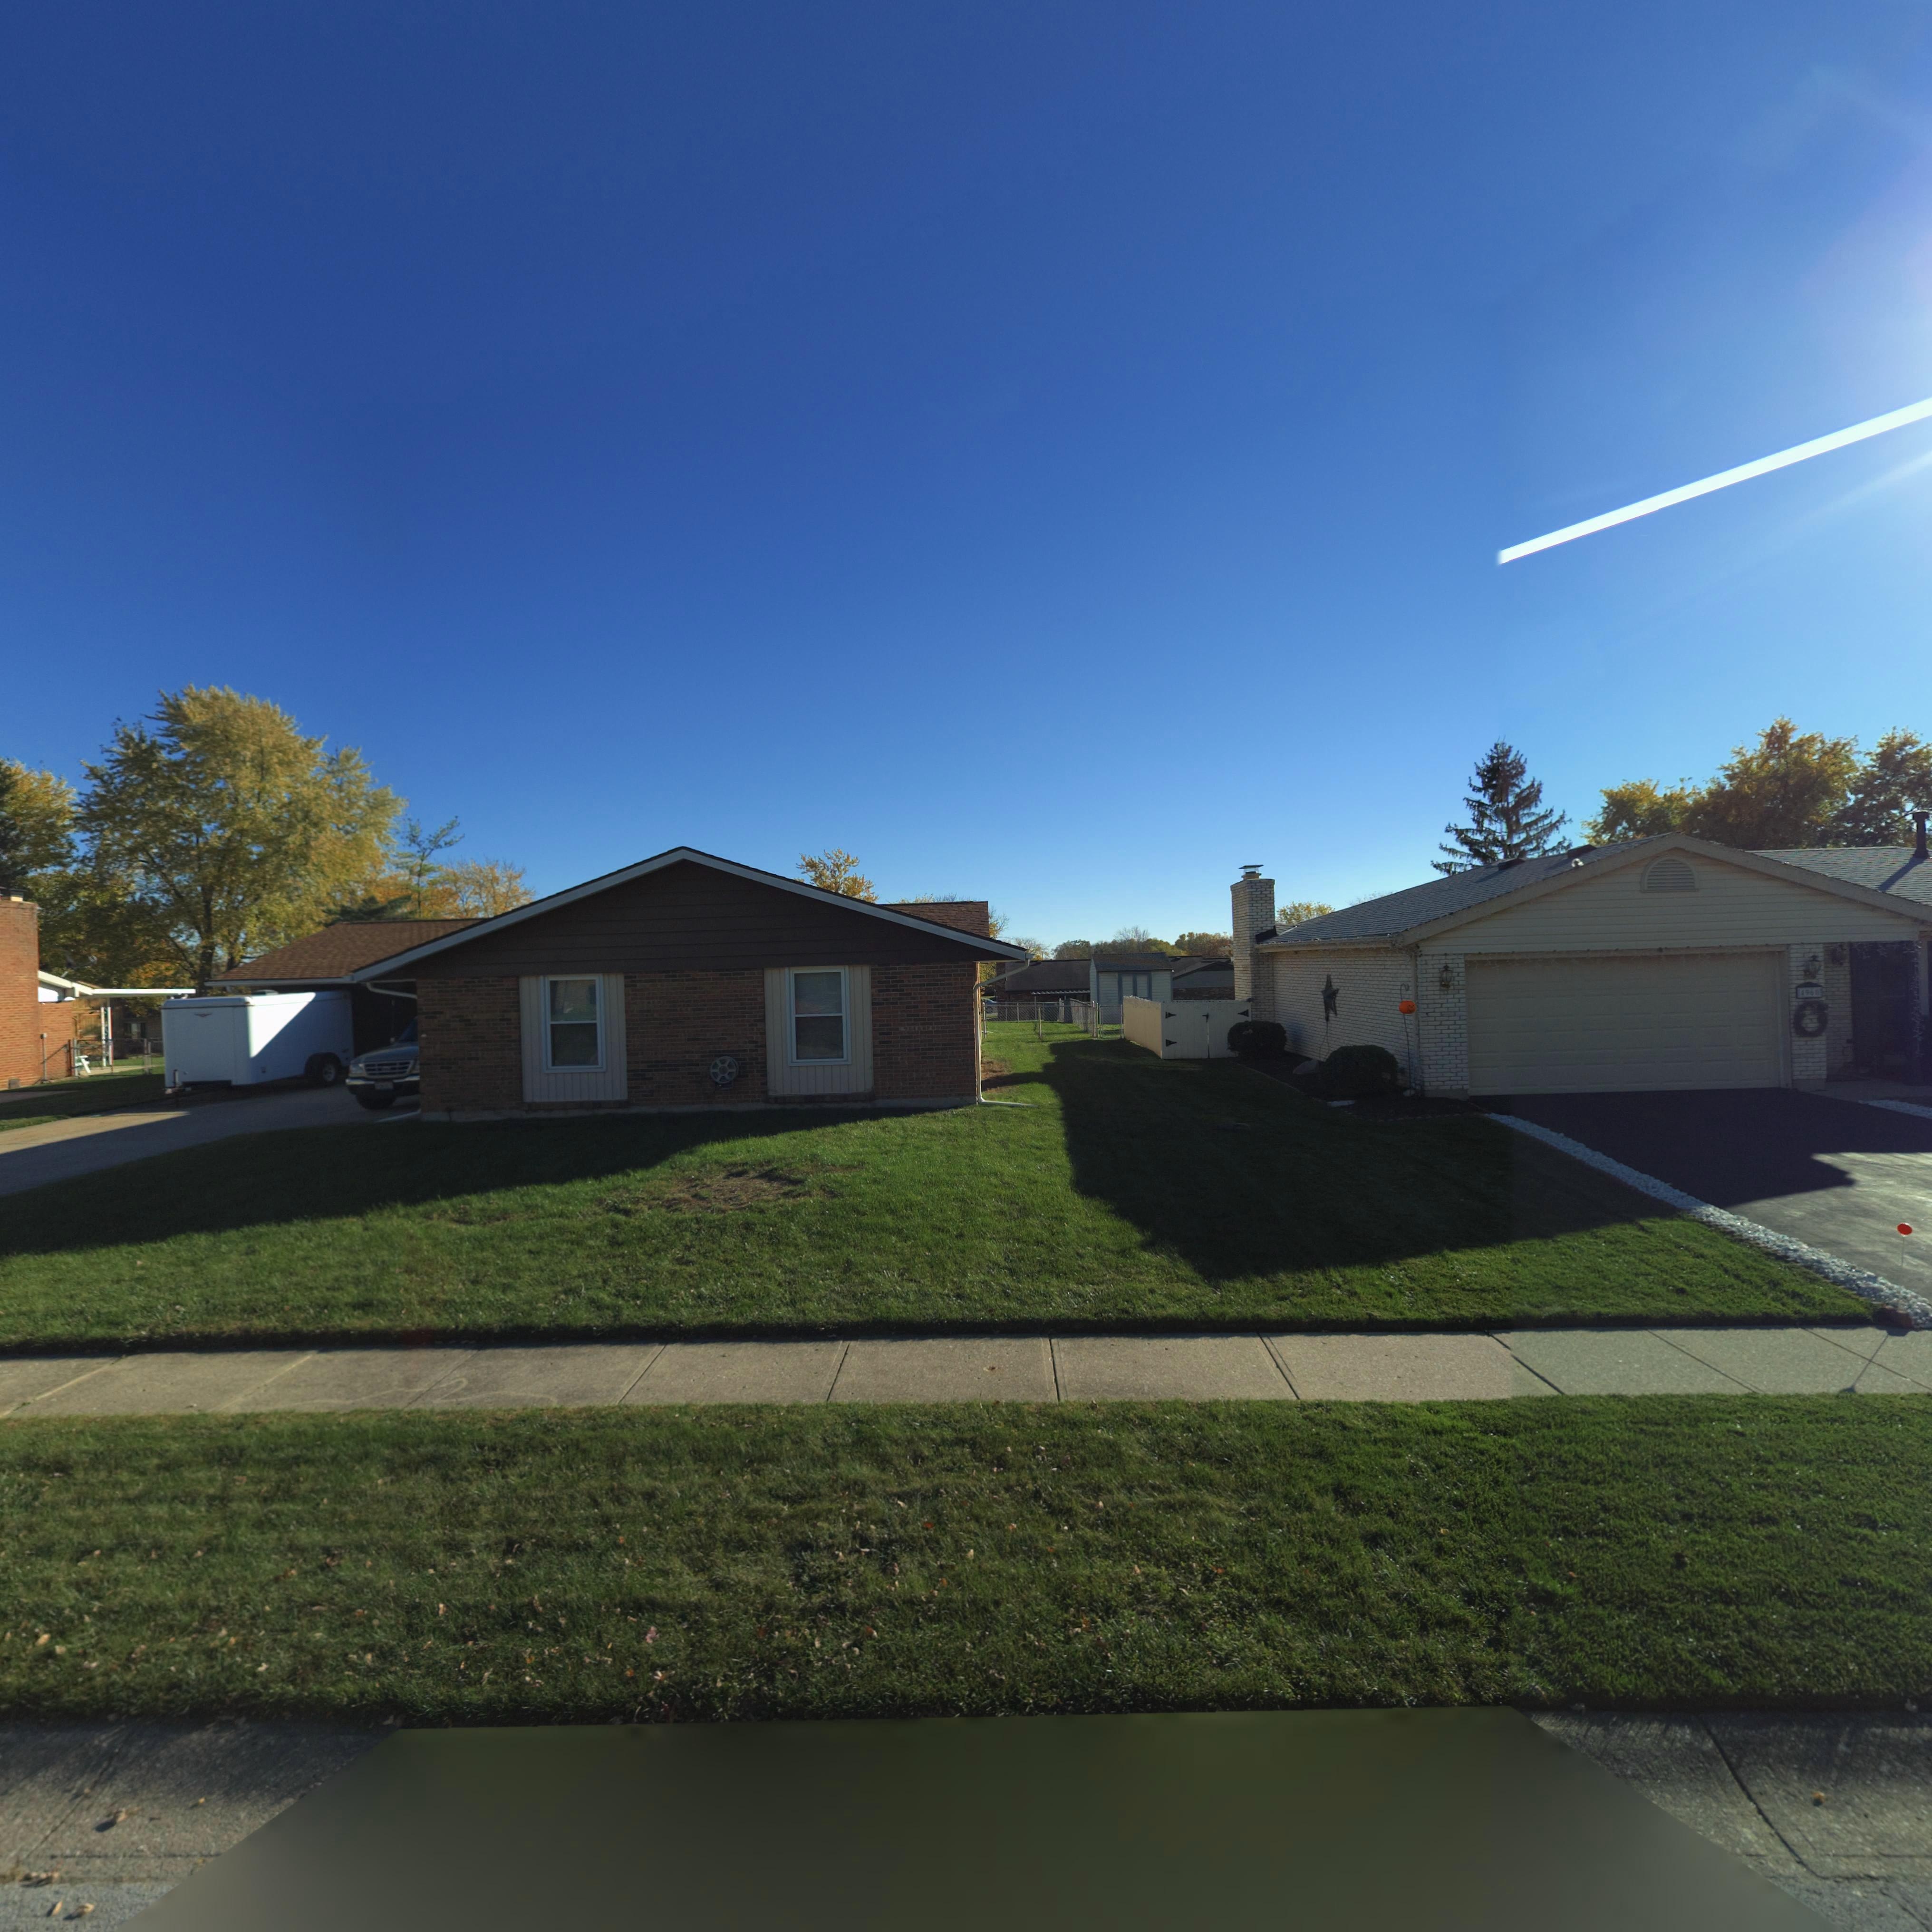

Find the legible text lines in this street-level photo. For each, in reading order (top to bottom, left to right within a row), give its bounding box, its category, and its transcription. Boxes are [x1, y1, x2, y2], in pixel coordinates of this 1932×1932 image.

[1798, 987, 1822, 997] StreetNumber: *960